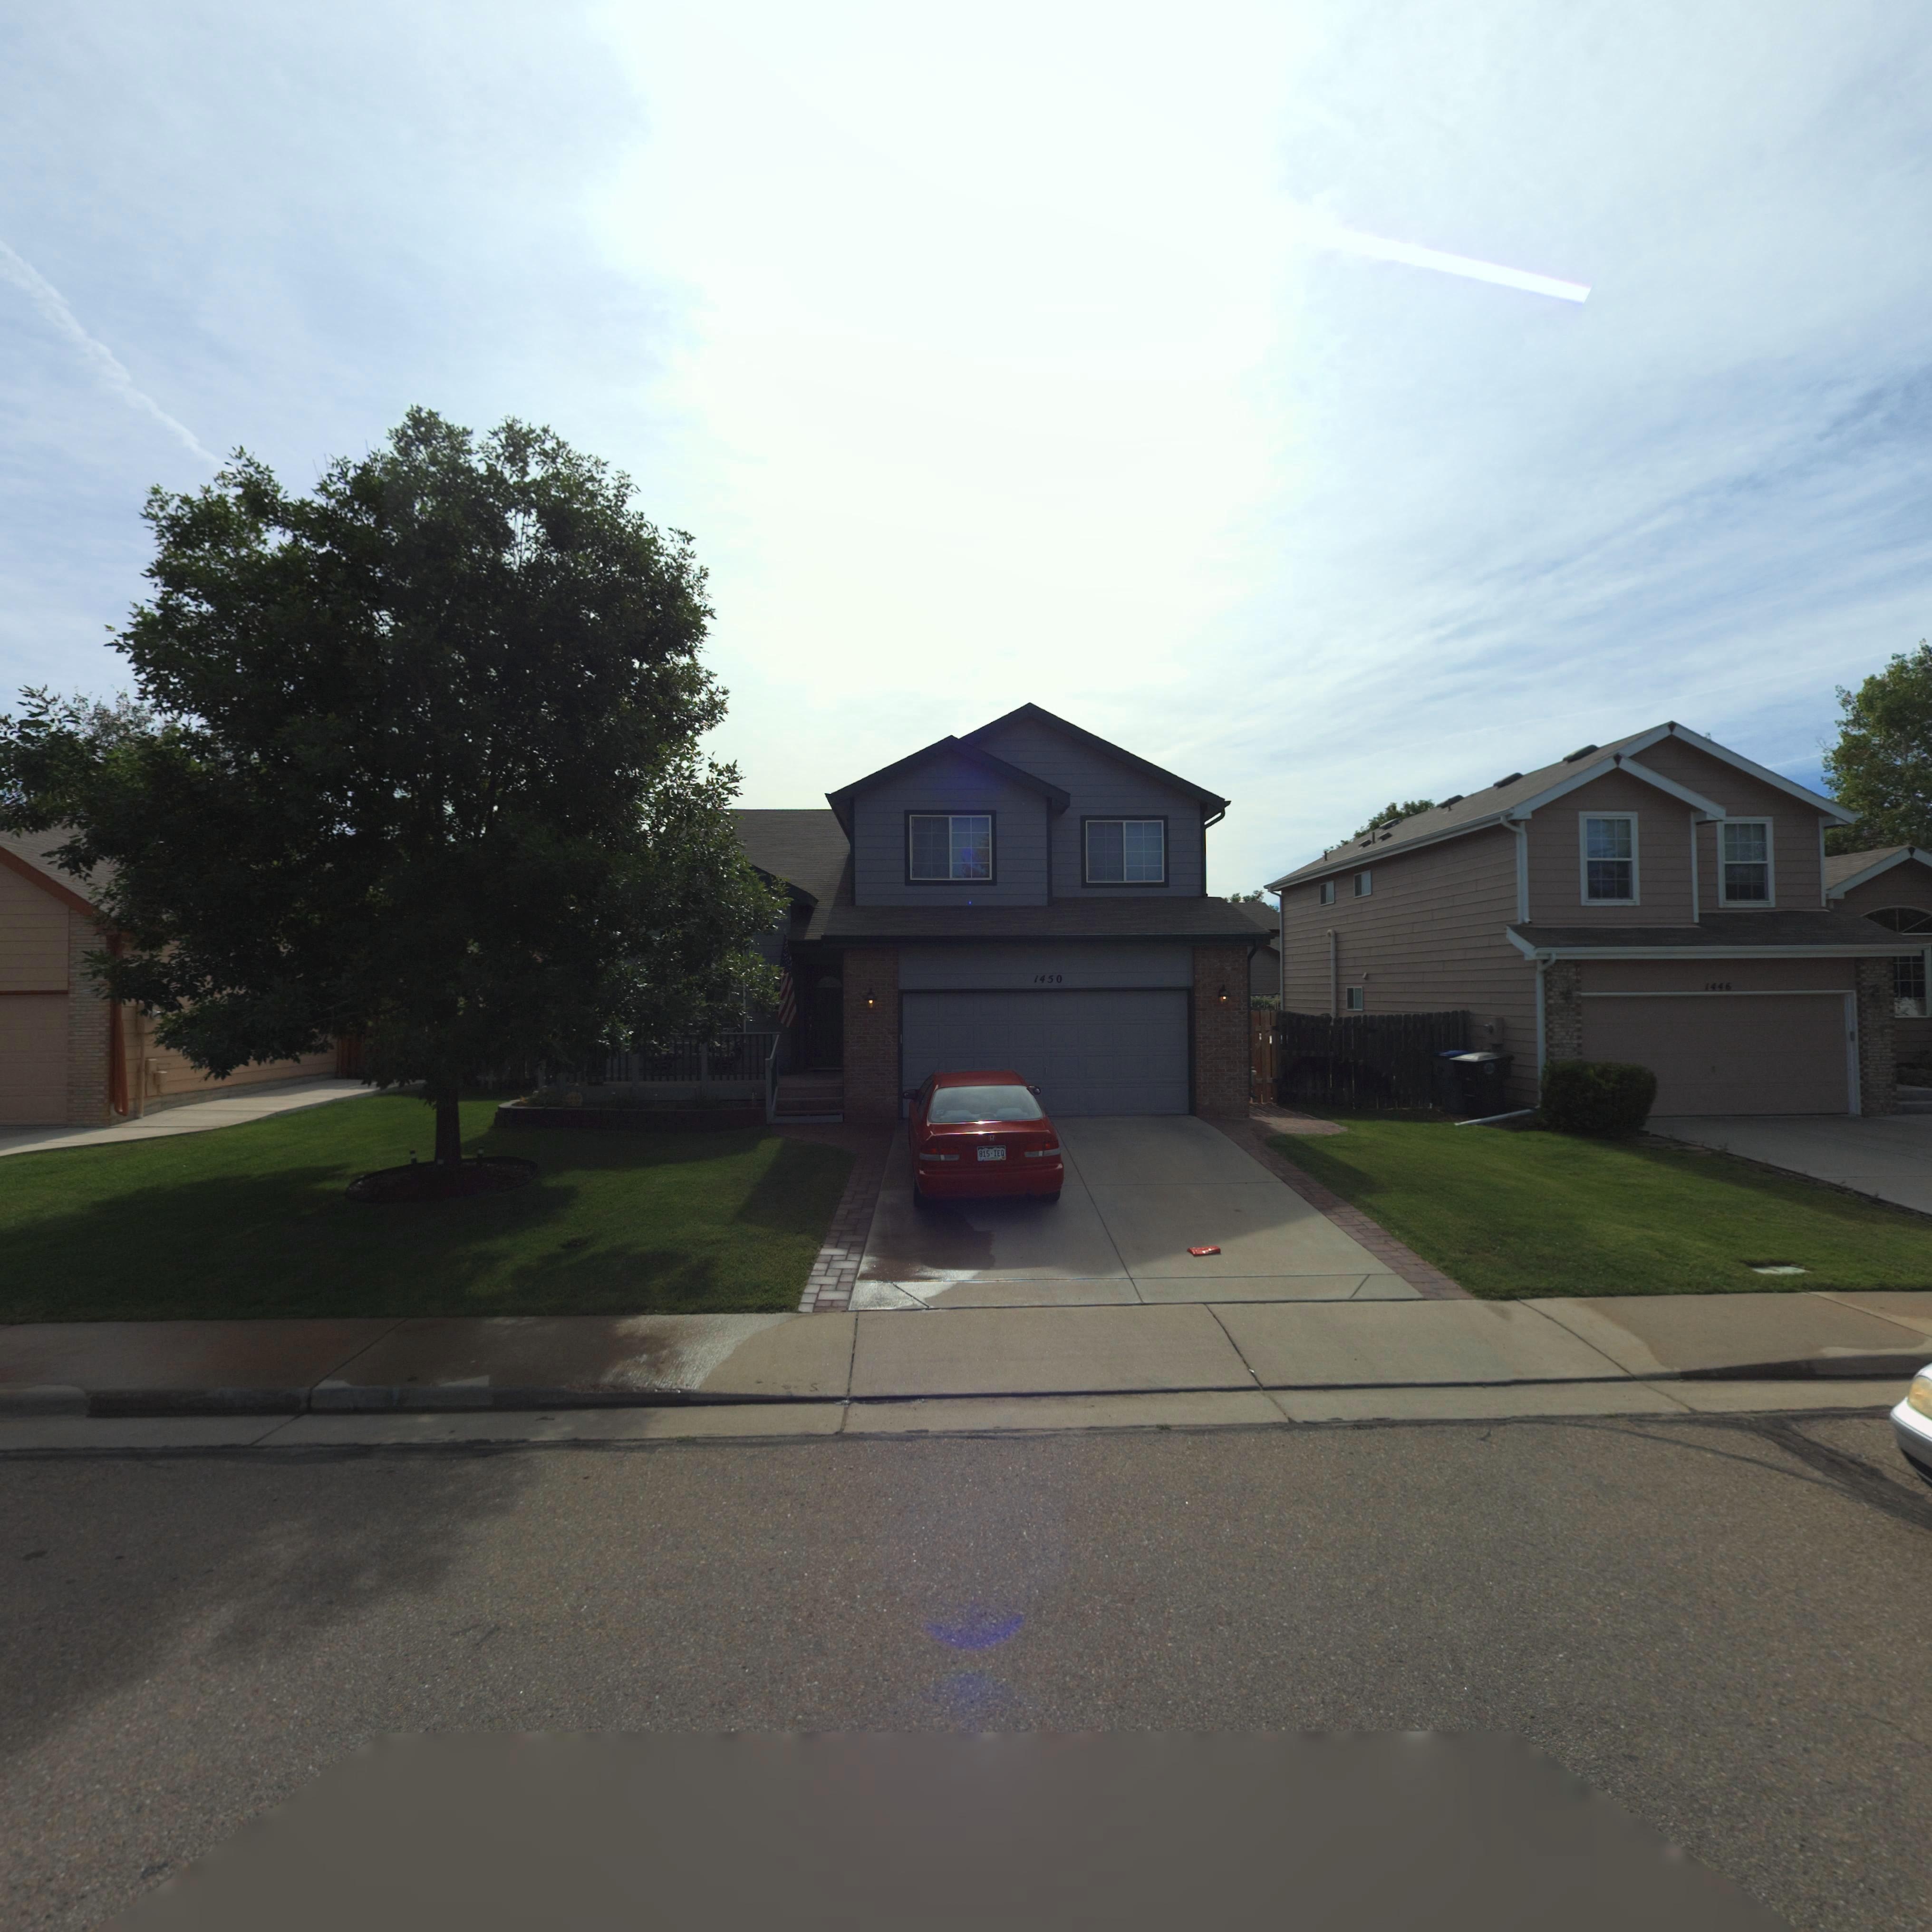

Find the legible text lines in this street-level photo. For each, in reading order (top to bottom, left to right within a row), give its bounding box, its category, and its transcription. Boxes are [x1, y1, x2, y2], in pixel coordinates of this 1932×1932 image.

[1033, 974, 1063, 983] StreetNumber: 1450
[1704, 981, 1732, 991] StreetNumber: 1446